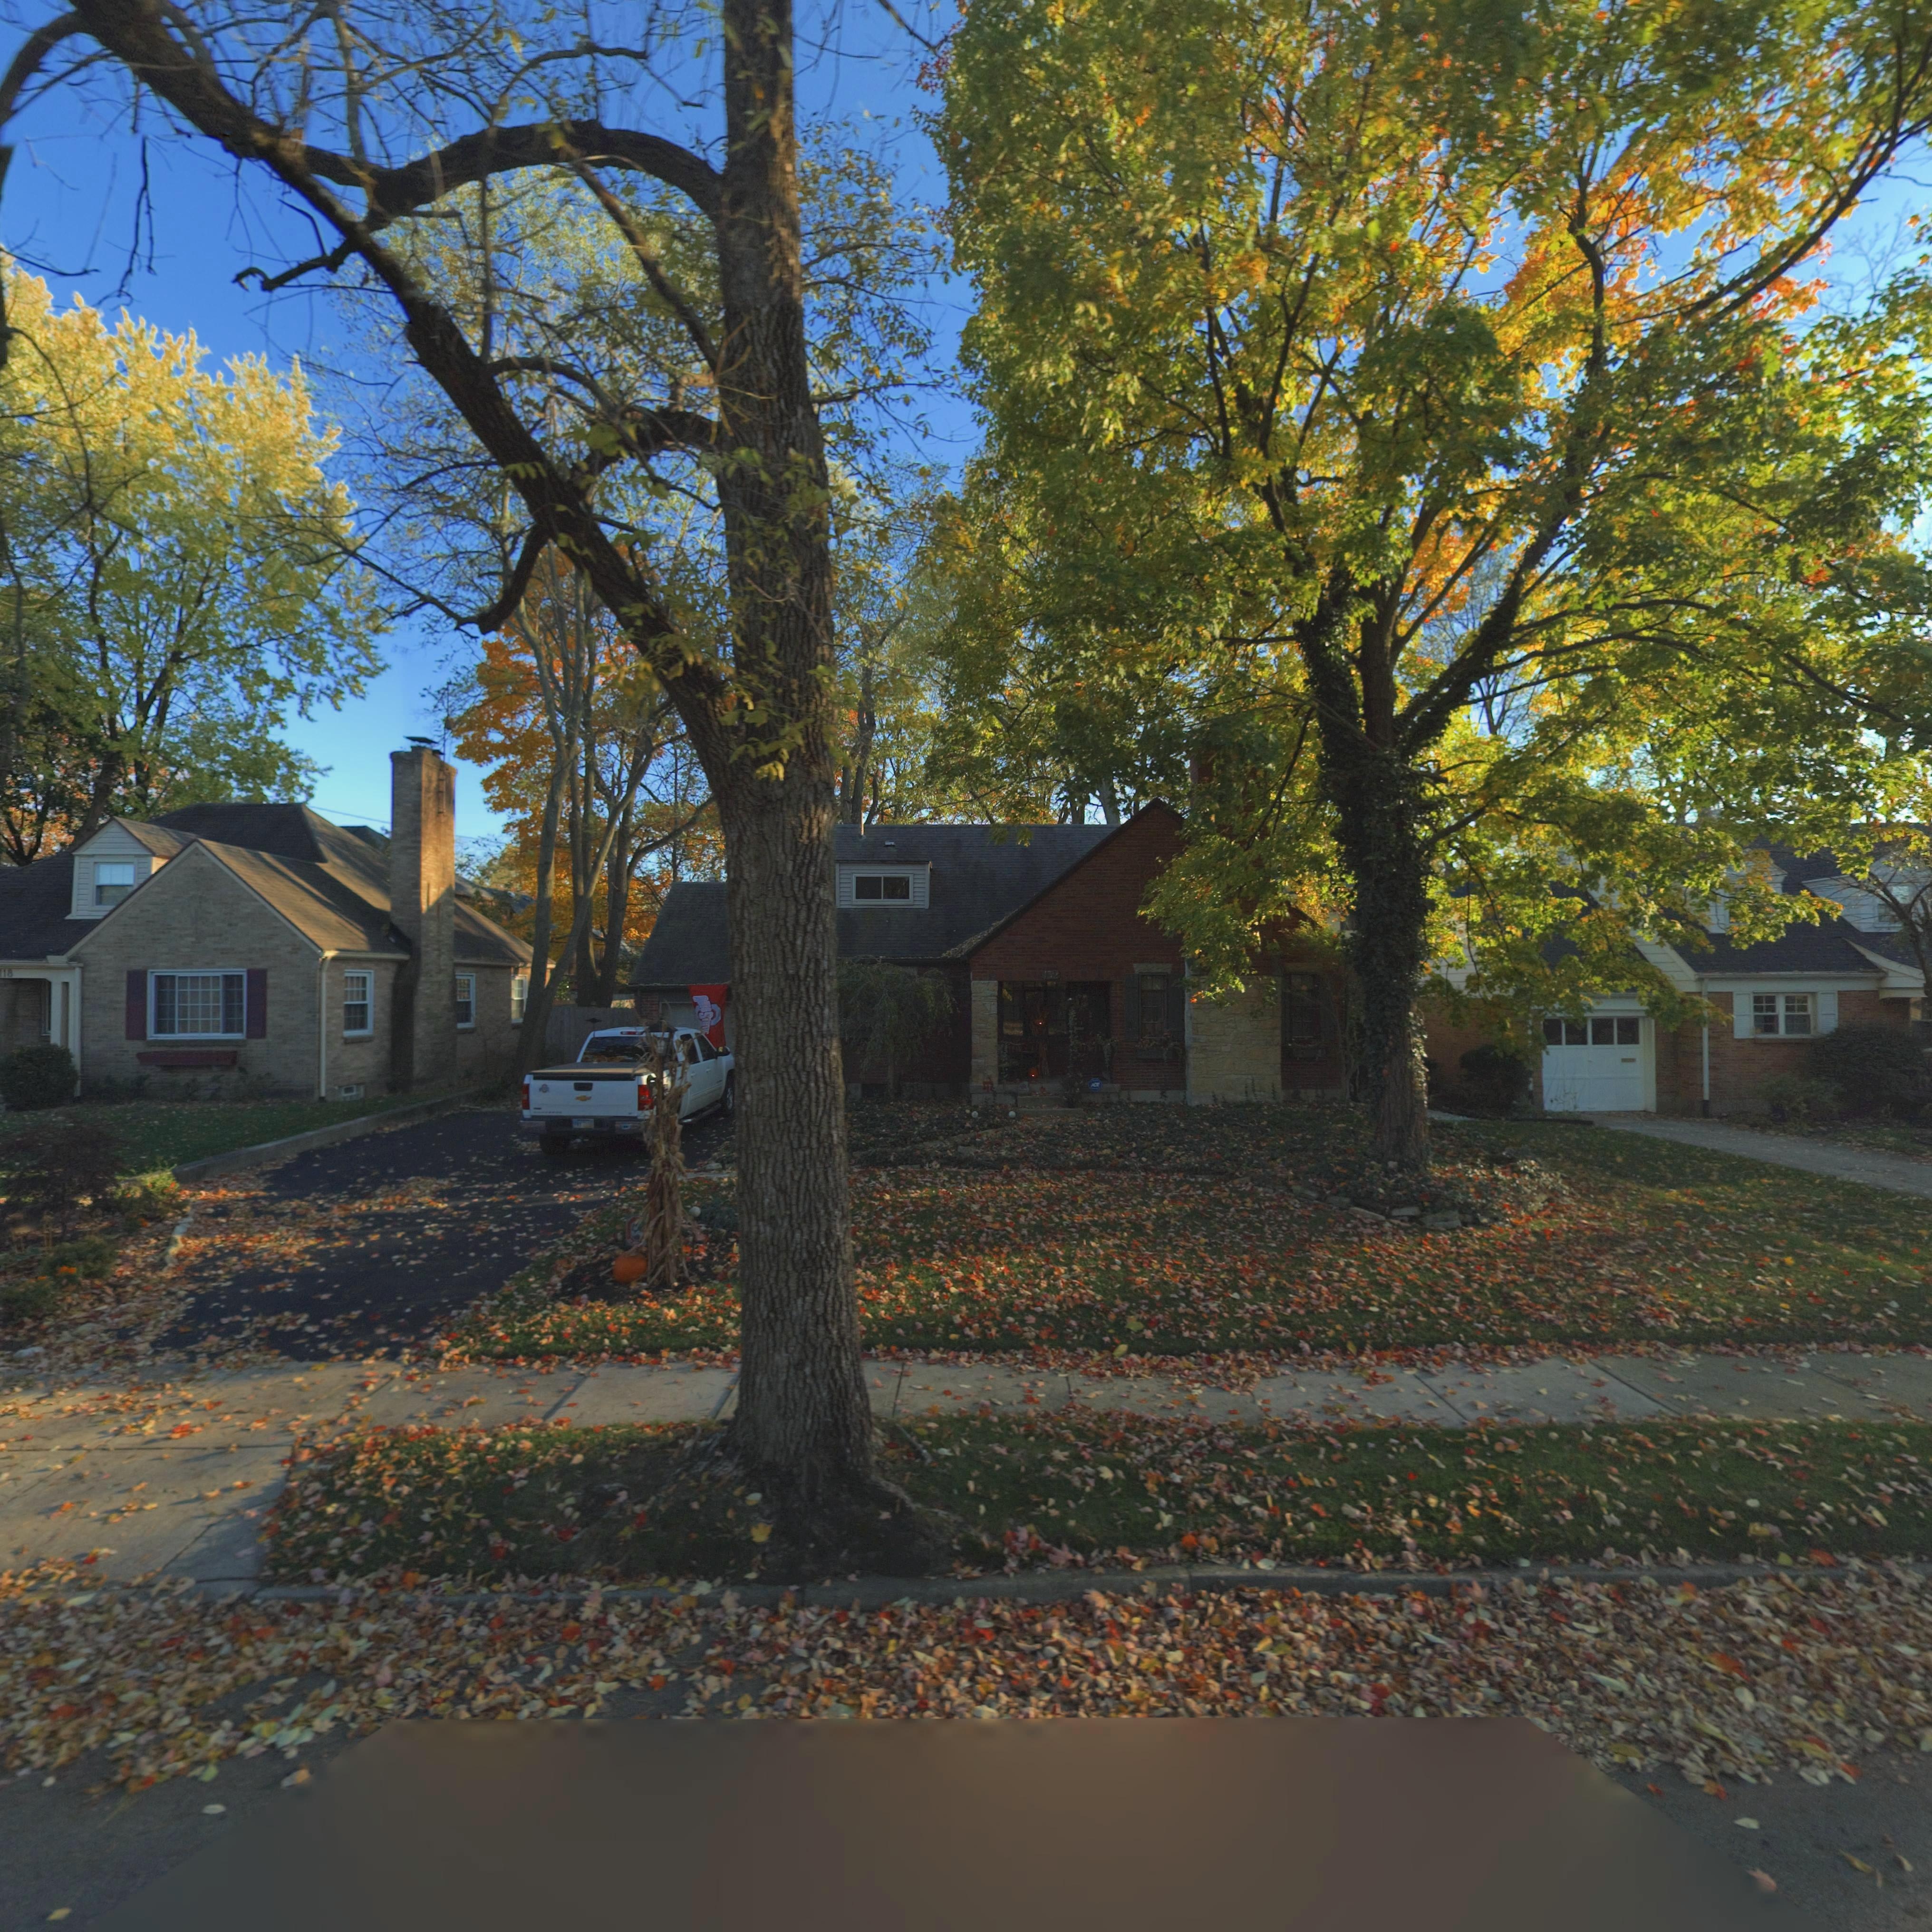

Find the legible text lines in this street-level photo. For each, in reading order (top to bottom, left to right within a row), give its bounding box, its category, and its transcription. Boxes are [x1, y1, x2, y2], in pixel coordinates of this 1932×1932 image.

[3, 968, 13, 977] StreetNumber: 18
[1043, 970, 1059, 979] StreetNumber: 132